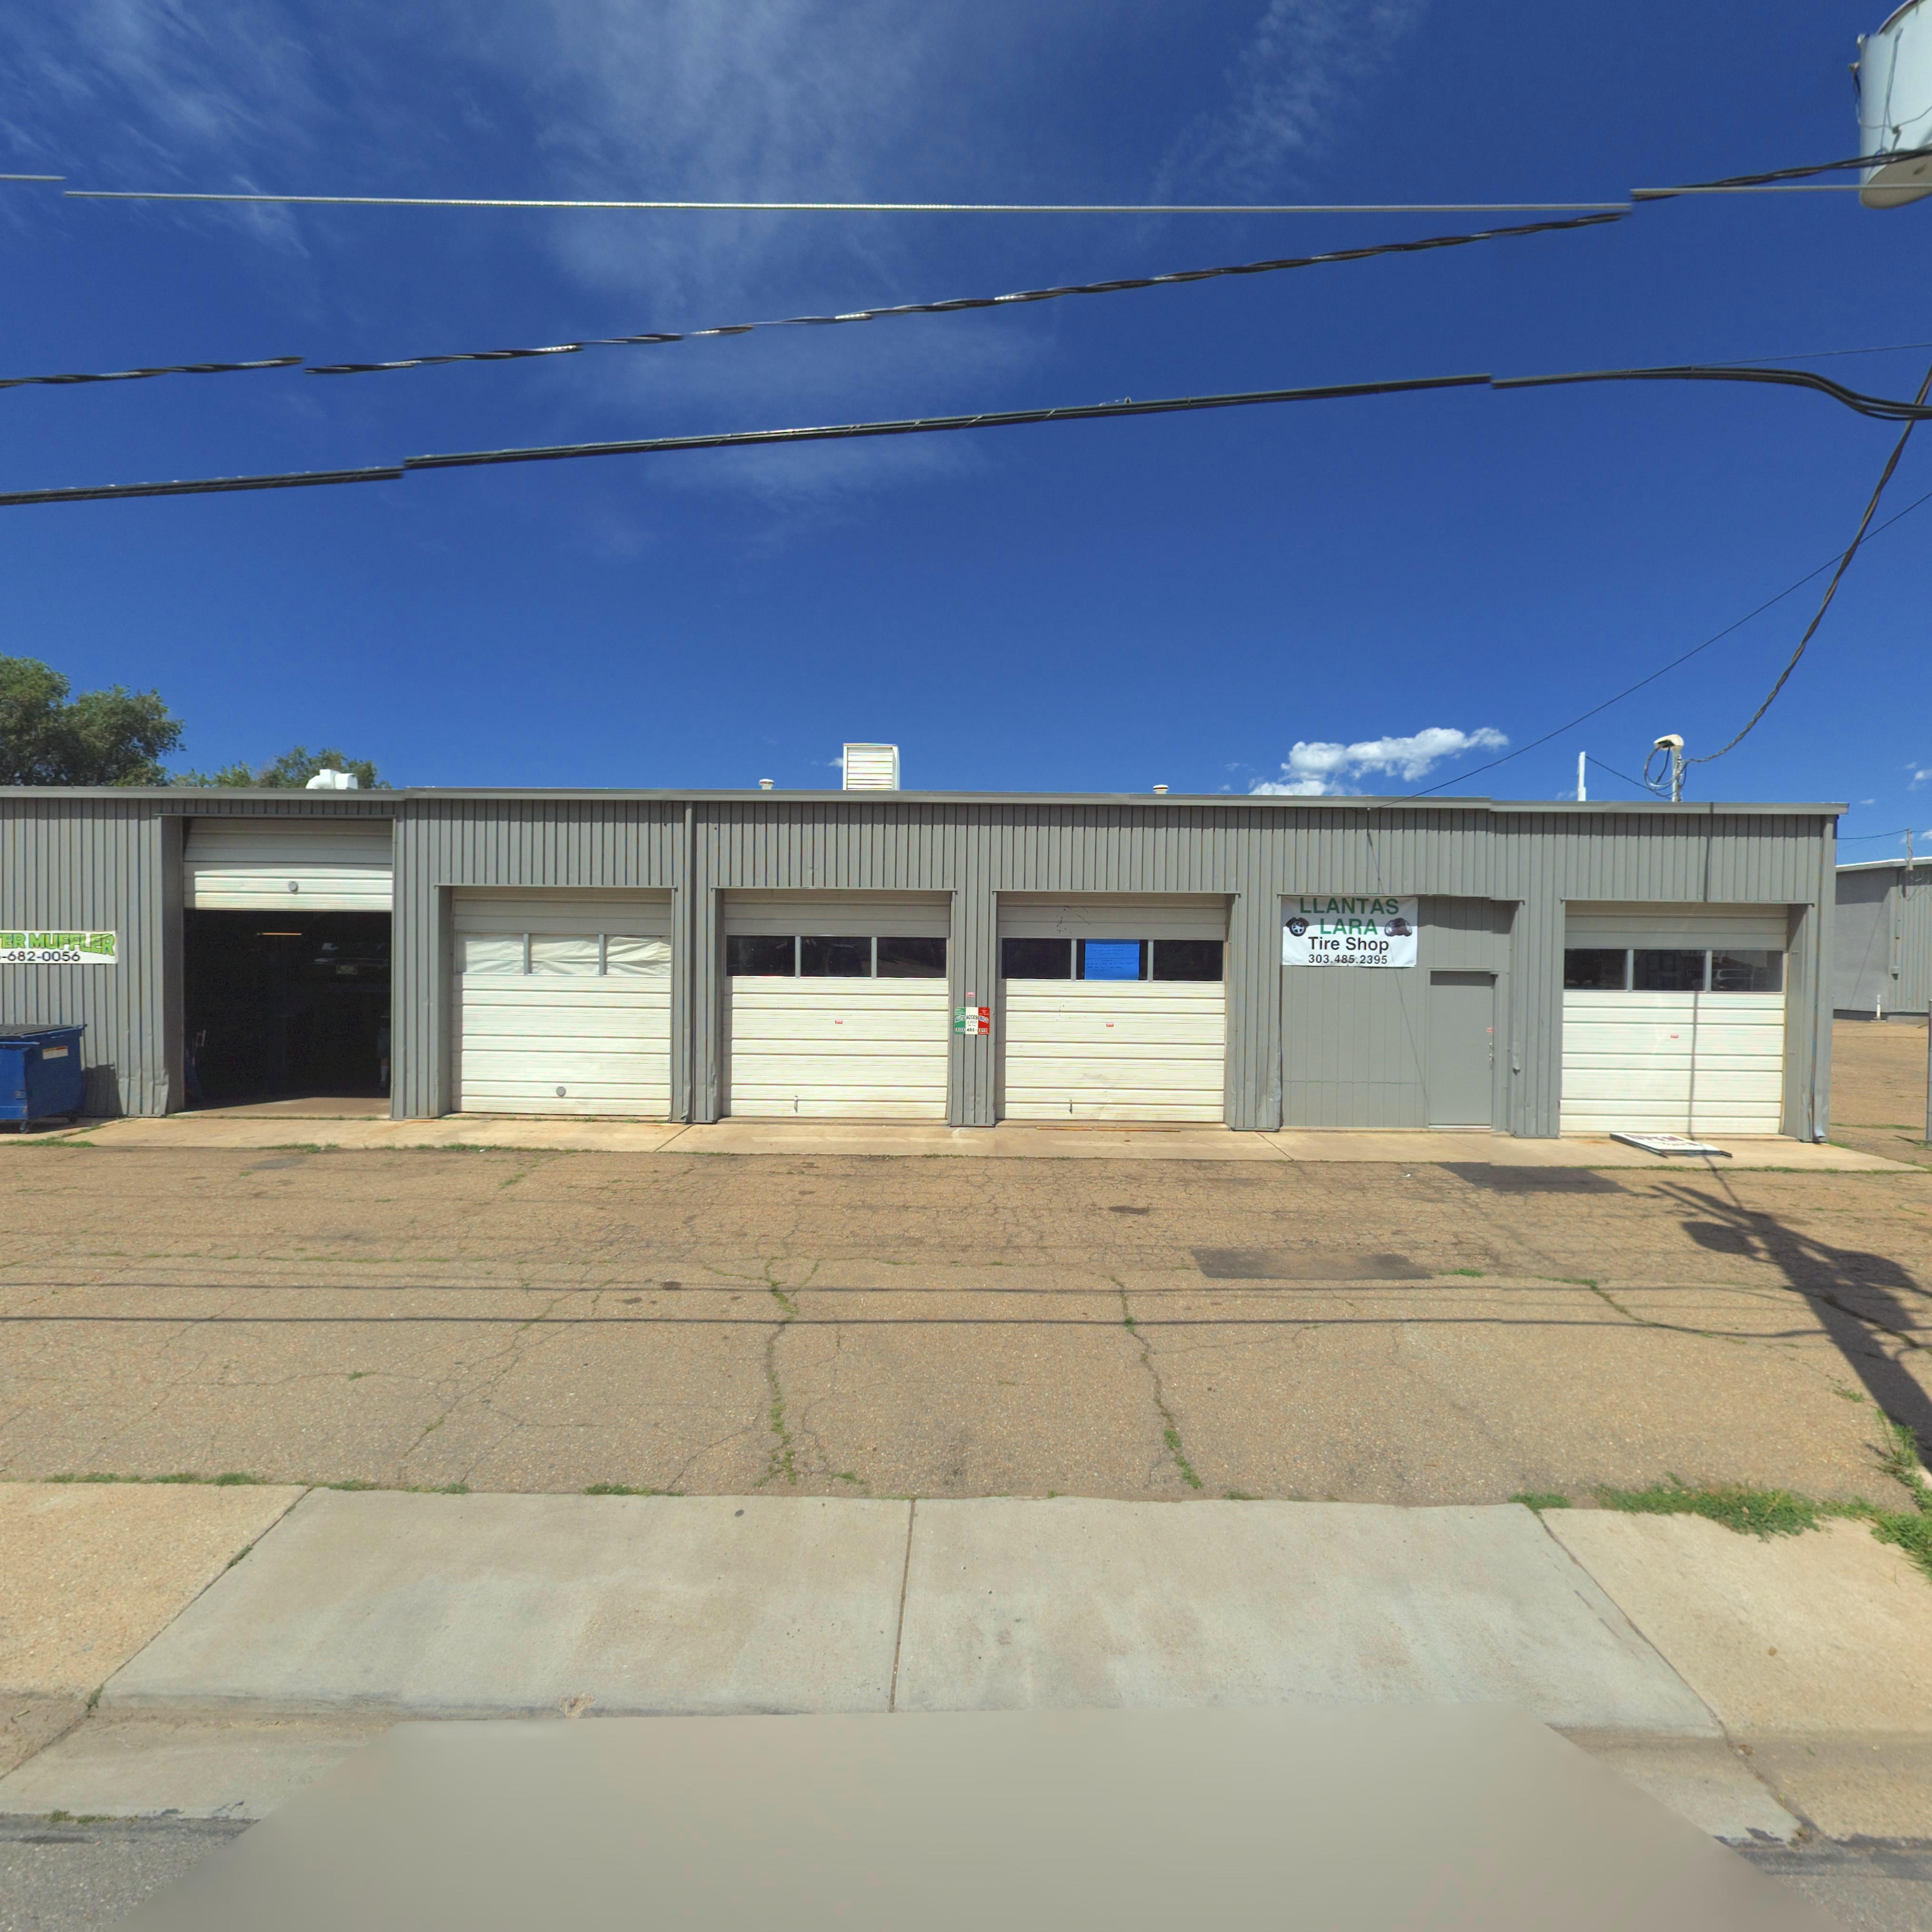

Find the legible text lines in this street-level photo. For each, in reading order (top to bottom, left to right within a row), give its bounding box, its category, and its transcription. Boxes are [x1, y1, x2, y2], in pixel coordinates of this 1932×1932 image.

[1299, 896, 1400, 915] BusinessName: LLANTAS
[1319, 917, 1379, 936] BusinessName: LARA
[0, 932, 115, 957] BusinessName: ER MUFFLER
[1307, 936, 1389, 955] BusinessName: Tire Shop
[955, 1014, 988, 1024] BusinessName: AUTO ACCESORIOS
[967, 1020, 977, 1024] BusinessName: *ARA